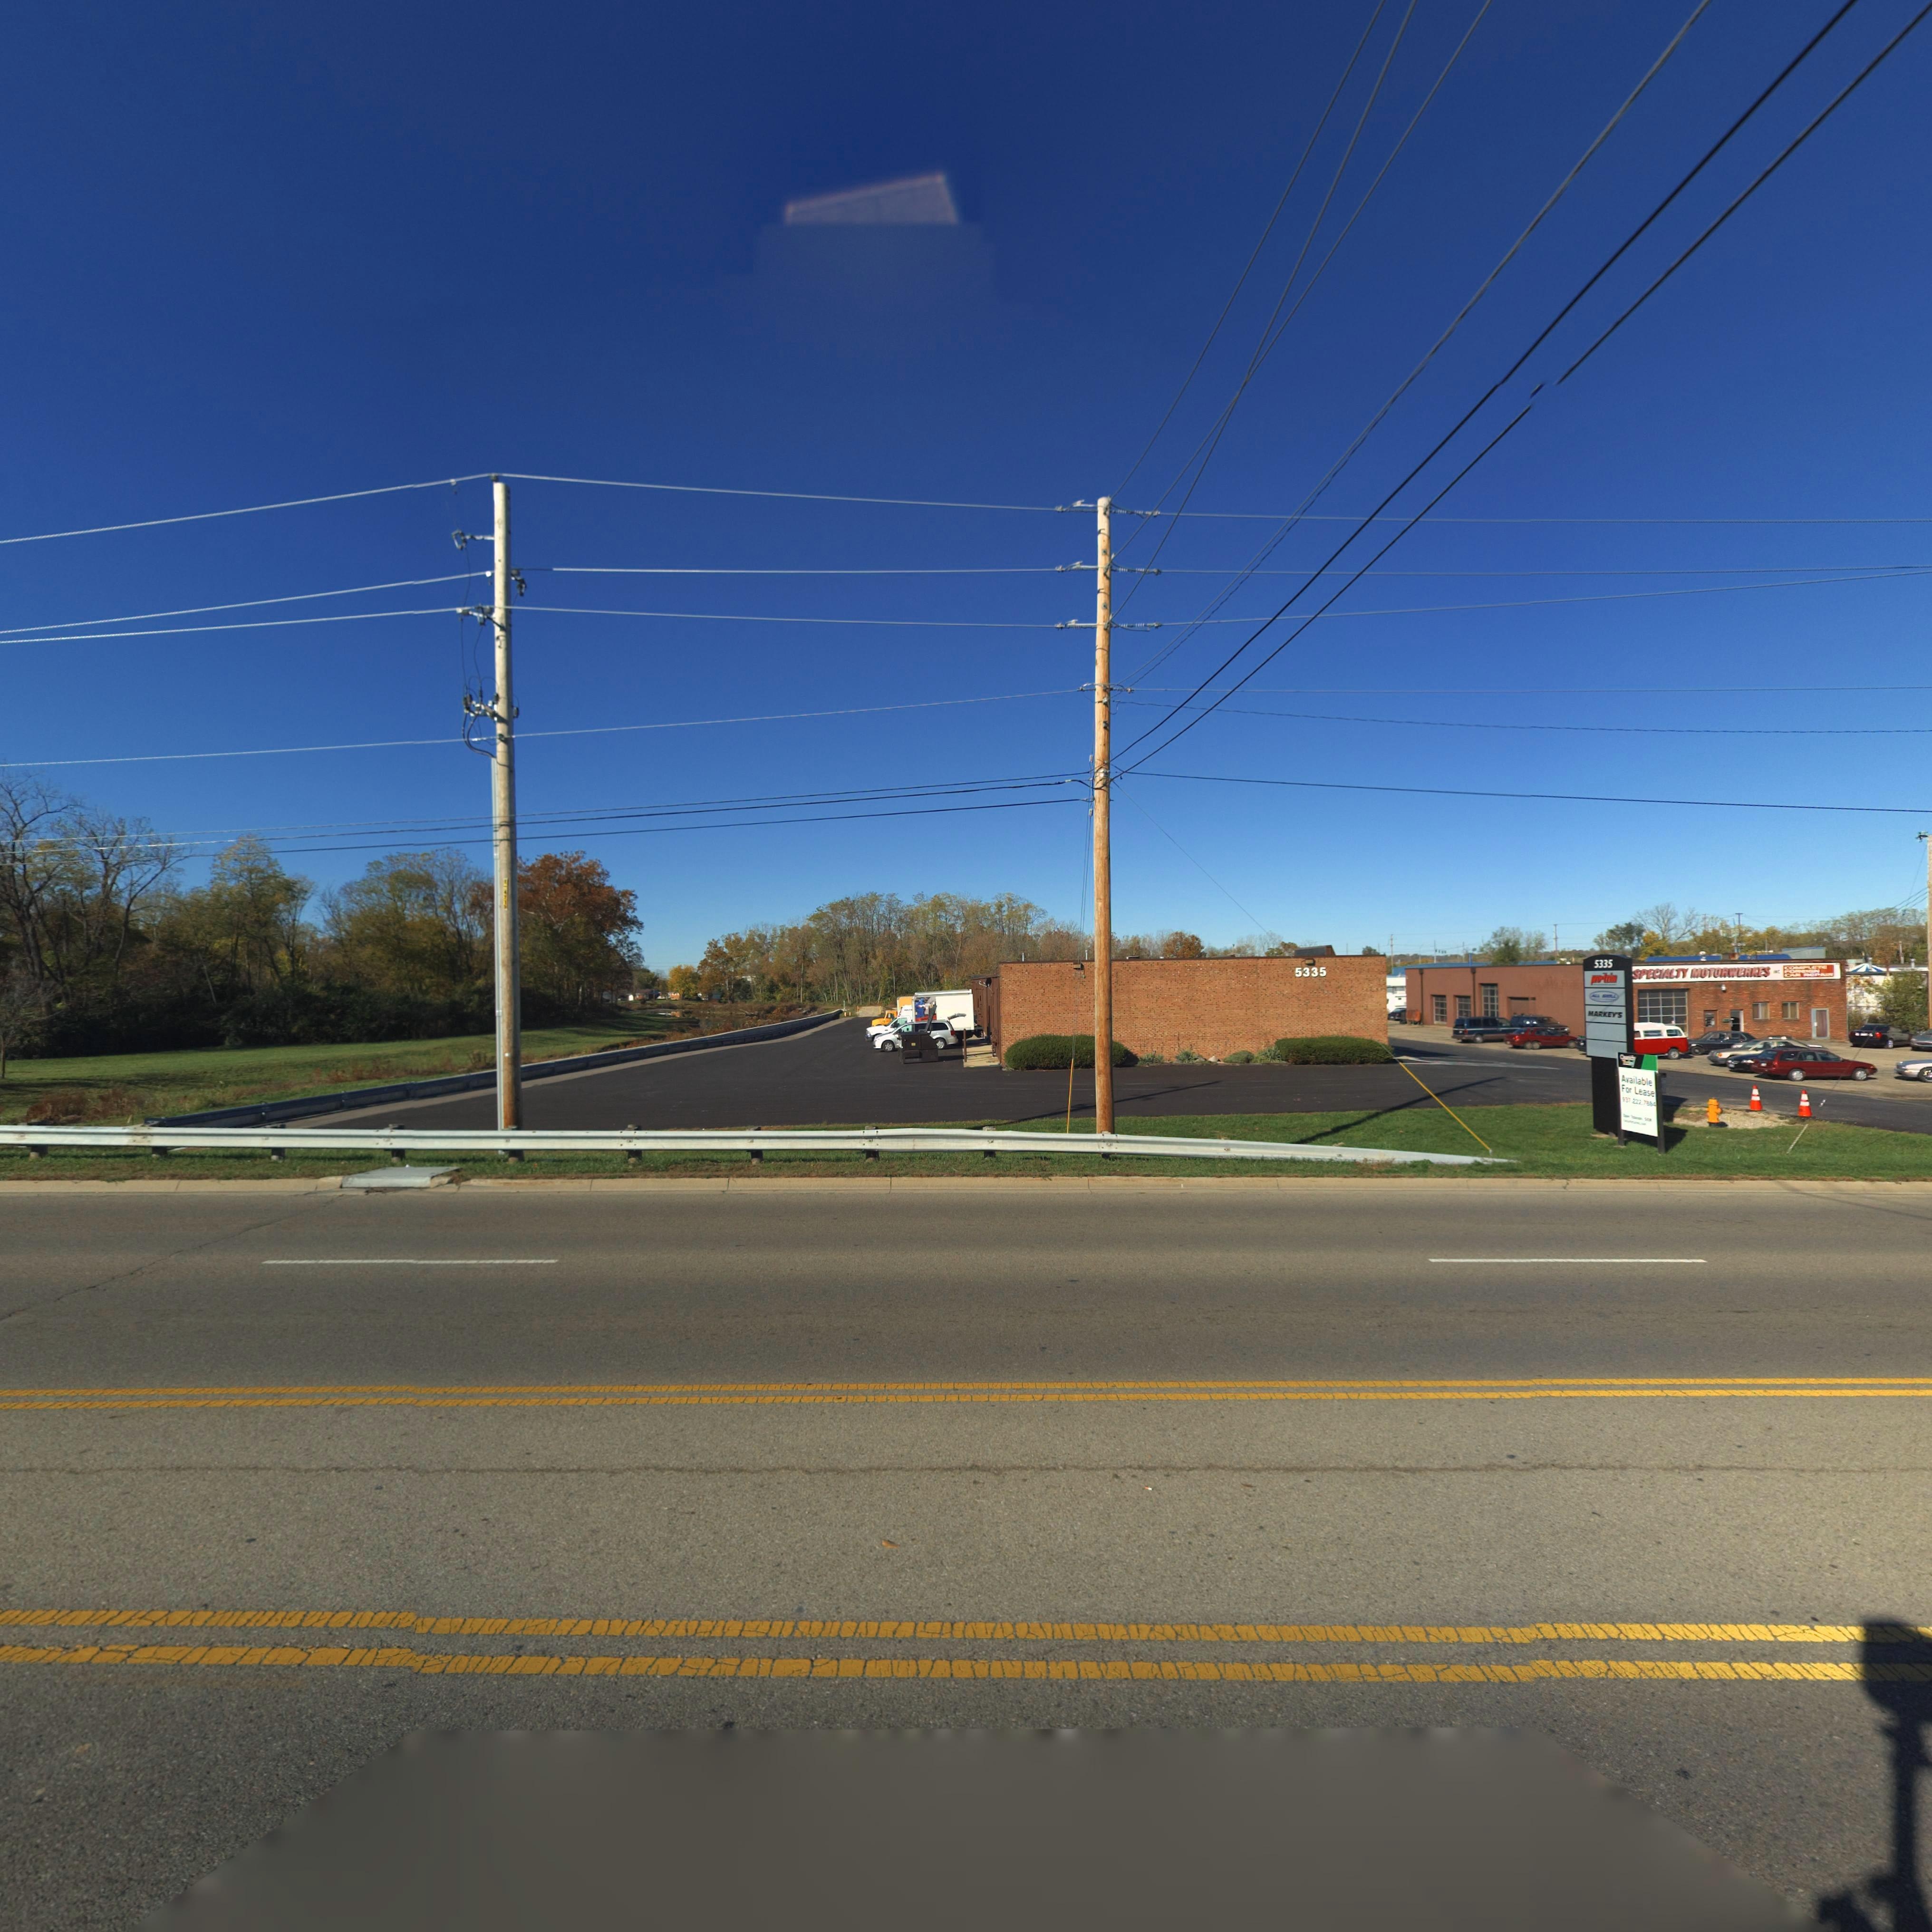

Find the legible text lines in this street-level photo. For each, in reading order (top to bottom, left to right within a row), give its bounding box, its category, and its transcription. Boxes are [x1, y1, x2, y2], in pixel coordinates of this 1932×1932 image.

[1593, 958, 1614, 969] StreetNumber: 5335
[1294, 966, 1327, 978] StreetNumber: 5335